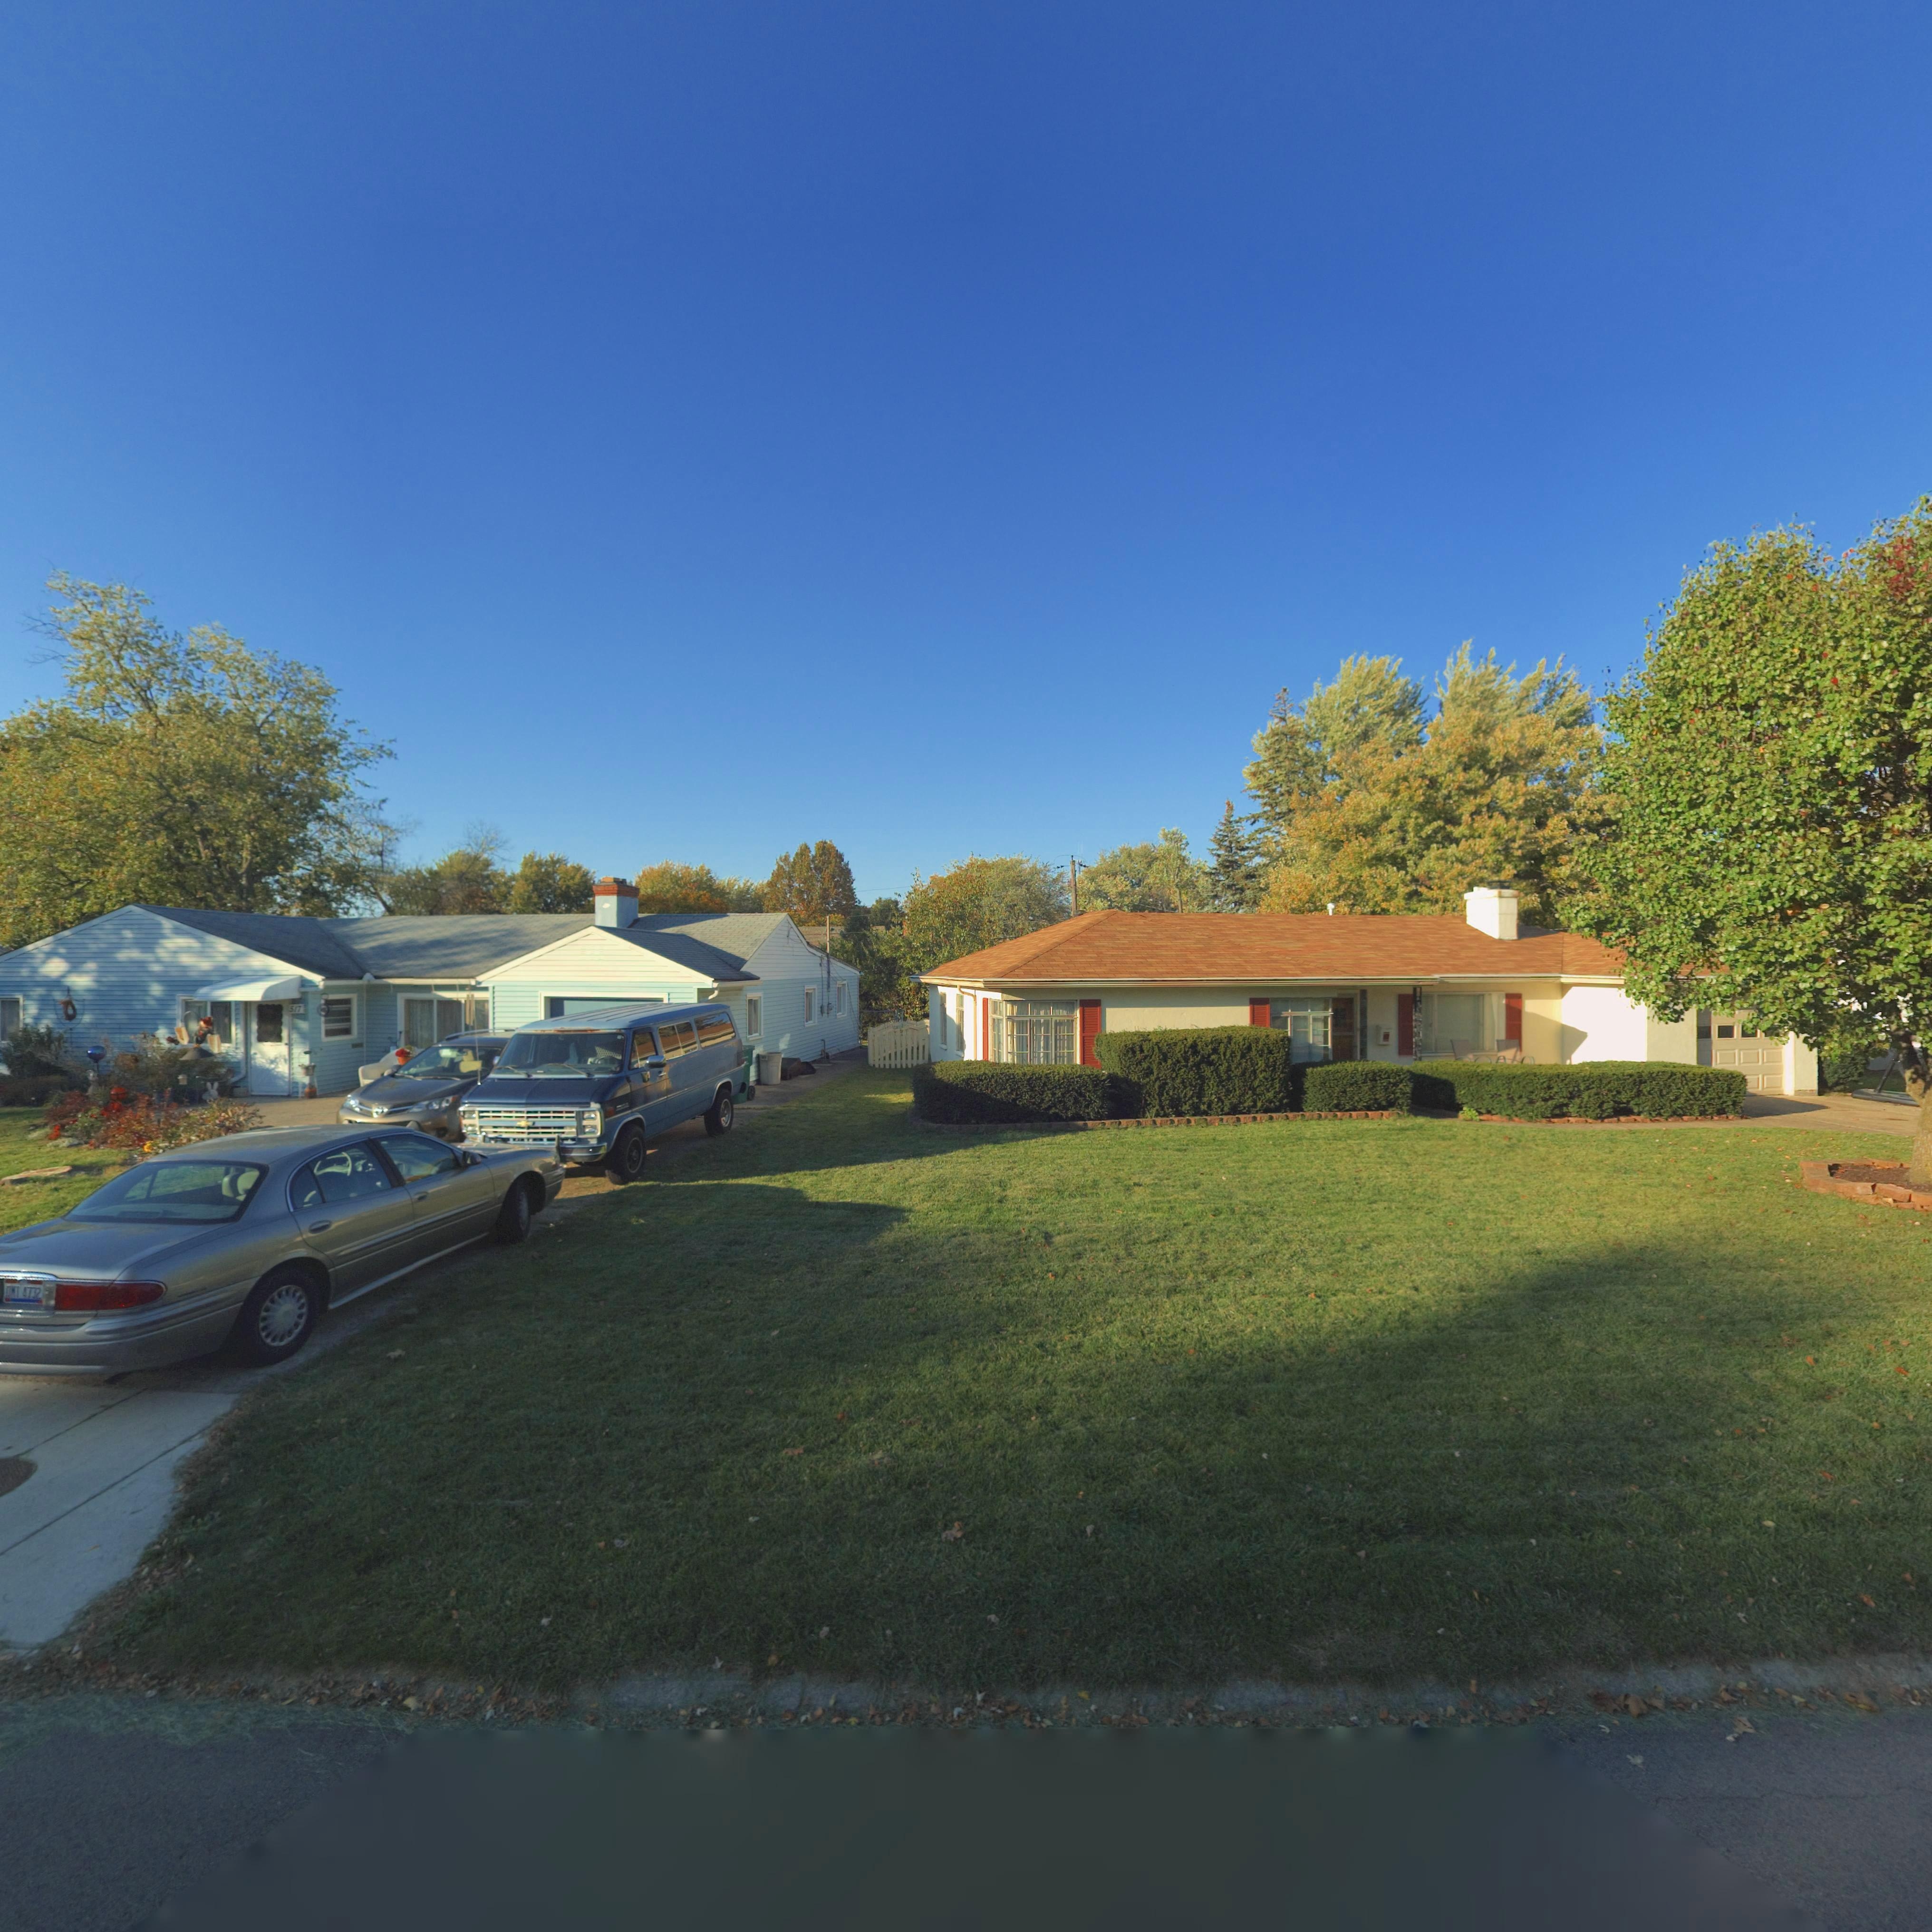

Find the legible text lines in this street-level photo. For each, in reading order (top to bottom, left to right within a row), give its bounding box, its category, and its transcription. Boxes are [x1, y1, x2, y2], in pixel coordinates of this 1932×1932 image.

[289, 1005, 302, 1013] StreetNumber: 517